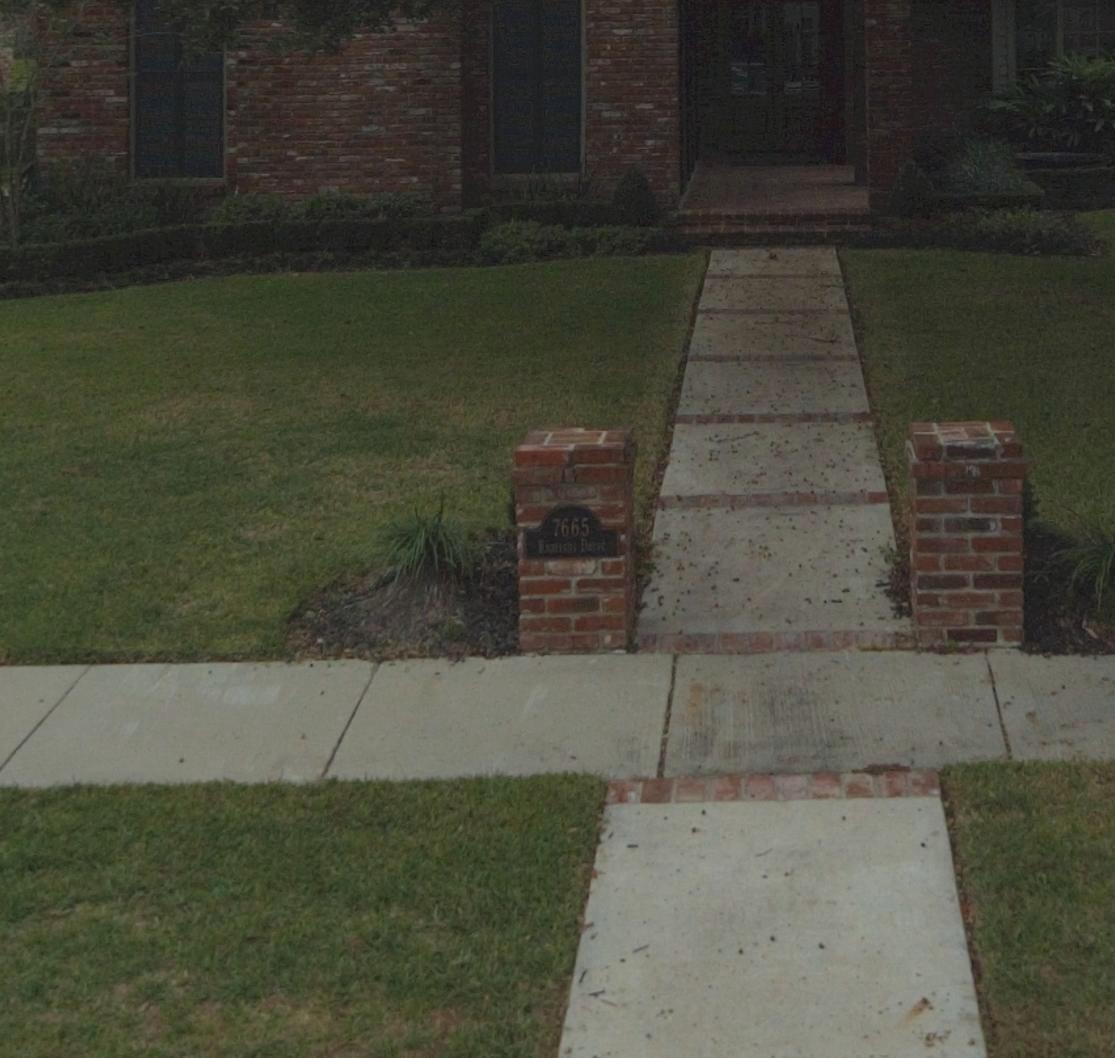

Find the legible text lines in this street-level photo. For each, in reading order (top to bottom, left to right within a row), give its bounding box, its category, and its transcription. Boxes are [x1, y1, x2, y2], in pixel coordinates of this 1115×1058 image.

[550, 515, 590, 537] StreetNumber: 7665